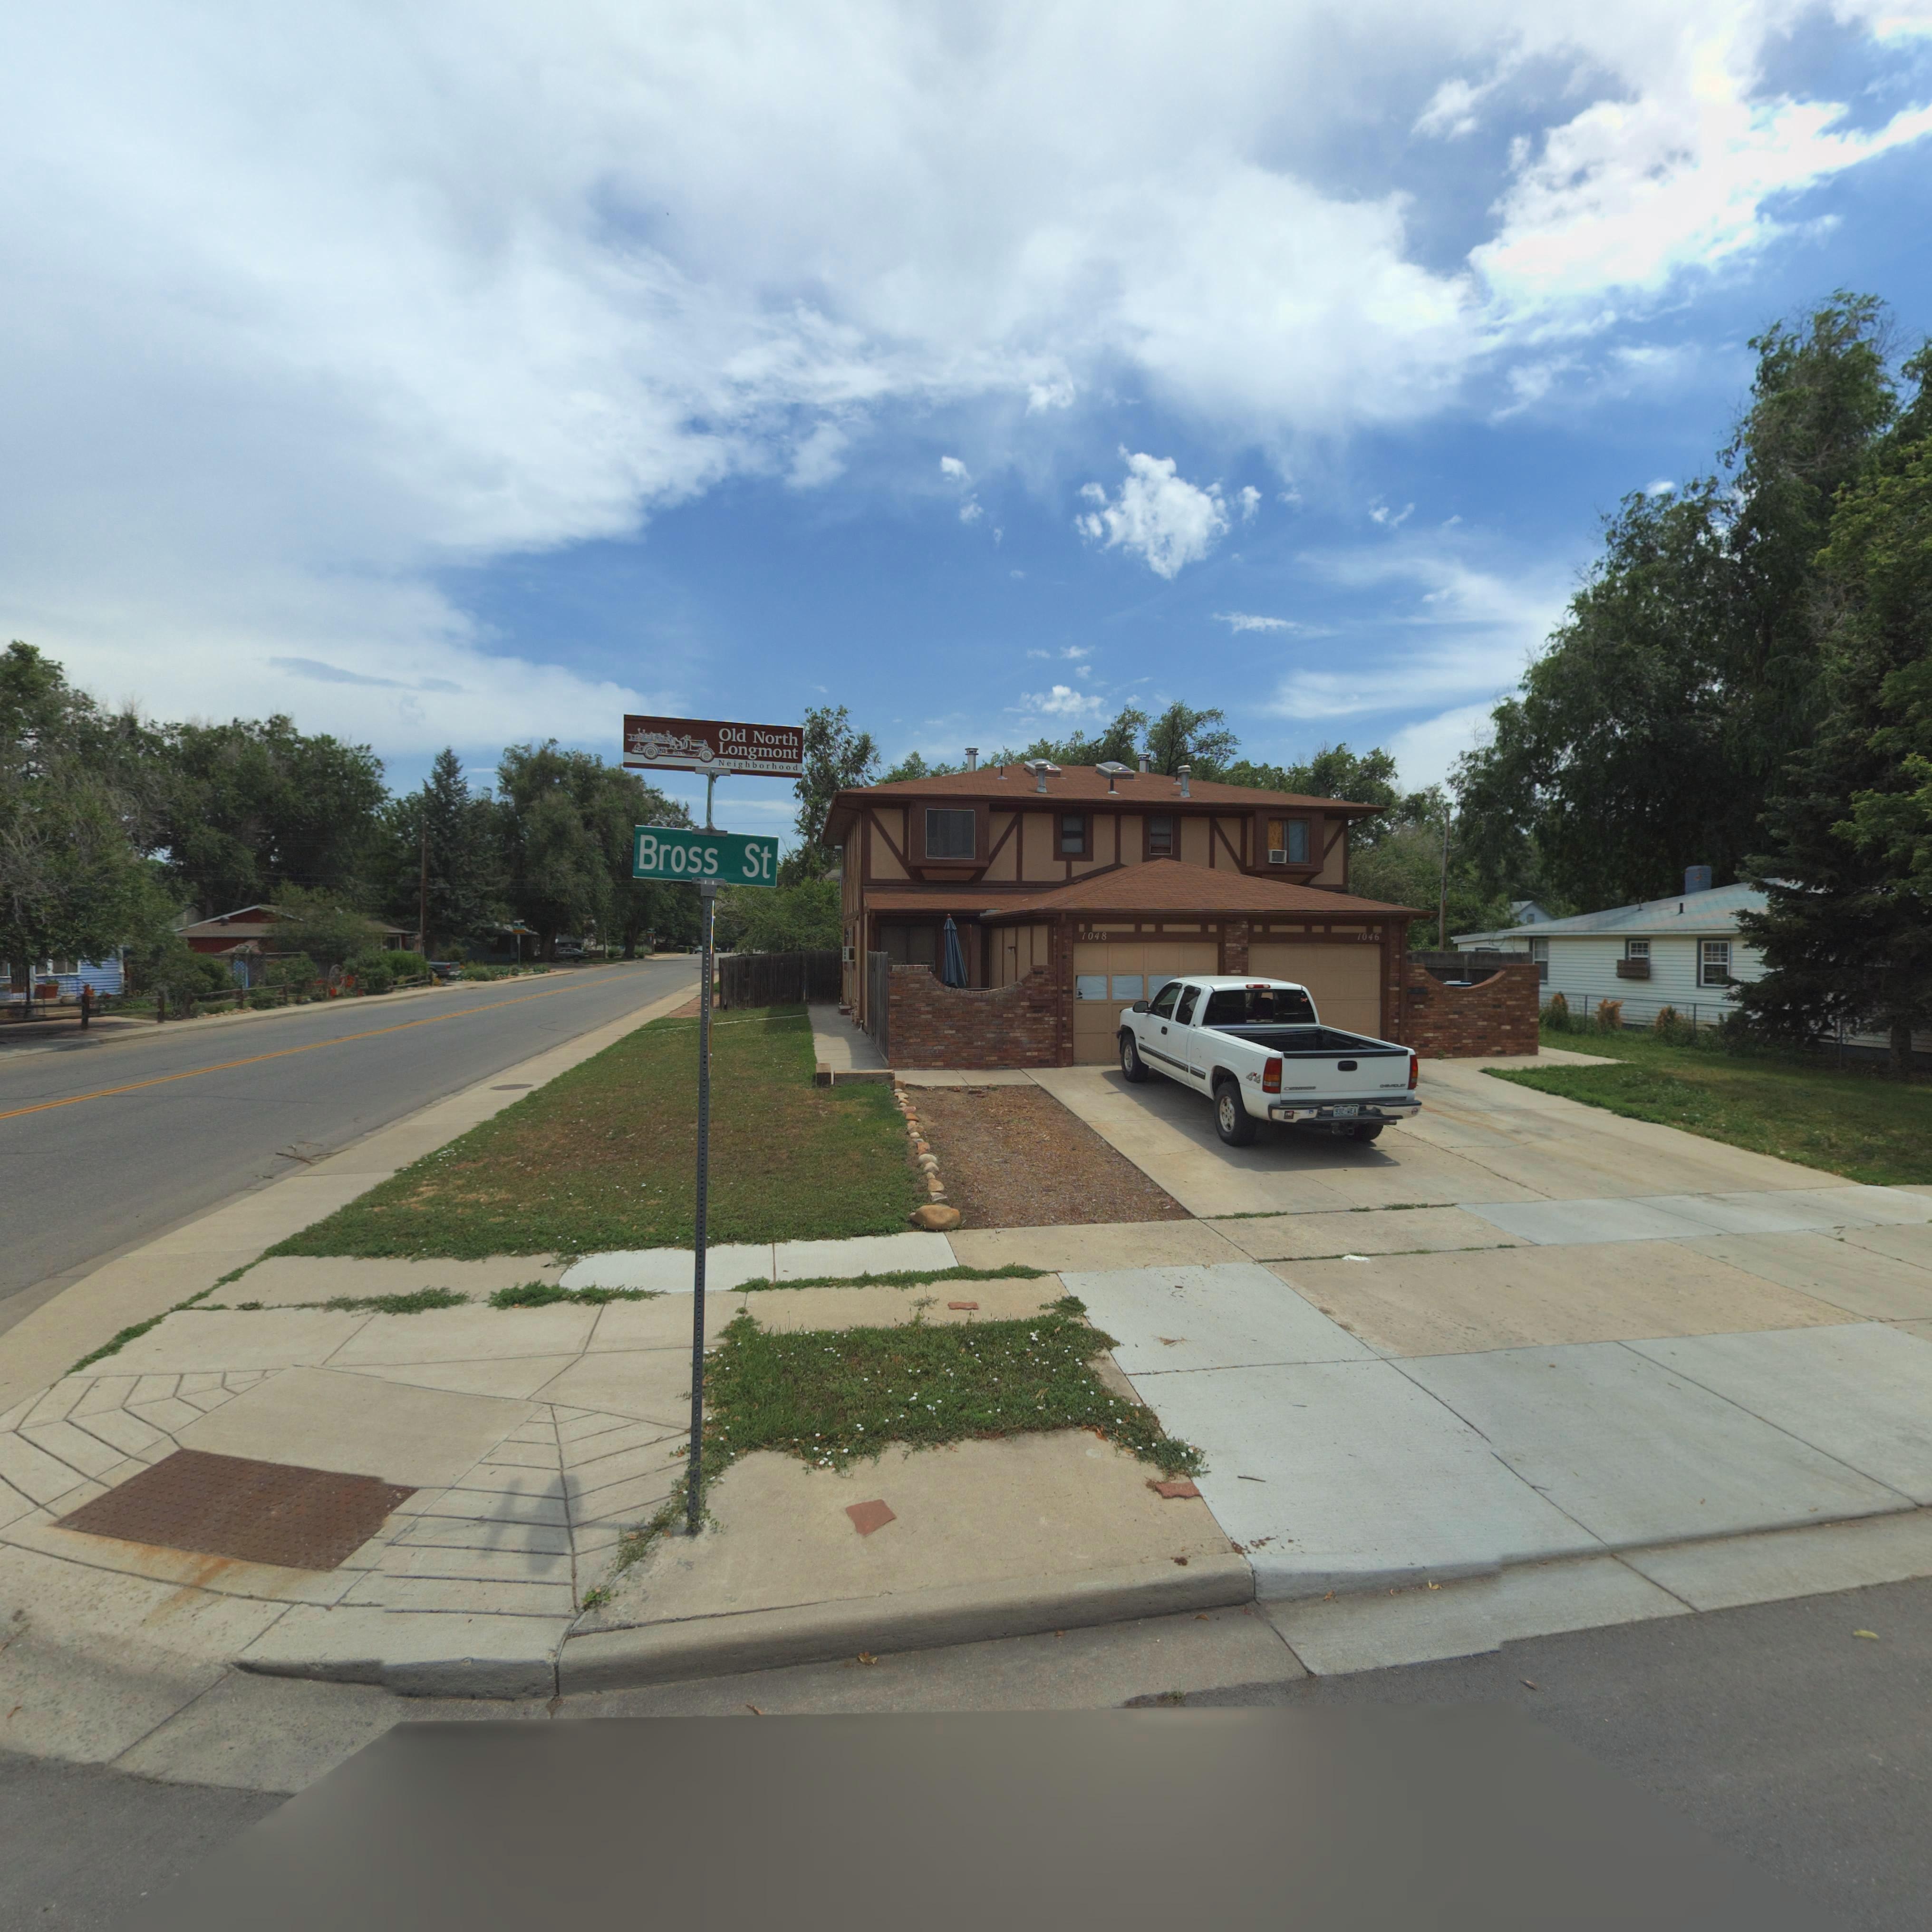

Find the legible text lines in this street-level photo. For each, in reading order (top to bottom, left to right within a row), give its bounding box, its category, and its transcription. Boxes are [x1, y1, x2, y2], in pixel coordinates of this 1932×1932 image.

[639, 834, 772, 879] StreetName: Bross St
[1082, 932, 1106, 941] StreetNumber: 1048
[1357, 932, 1379, 941] StreetNumber: 1046